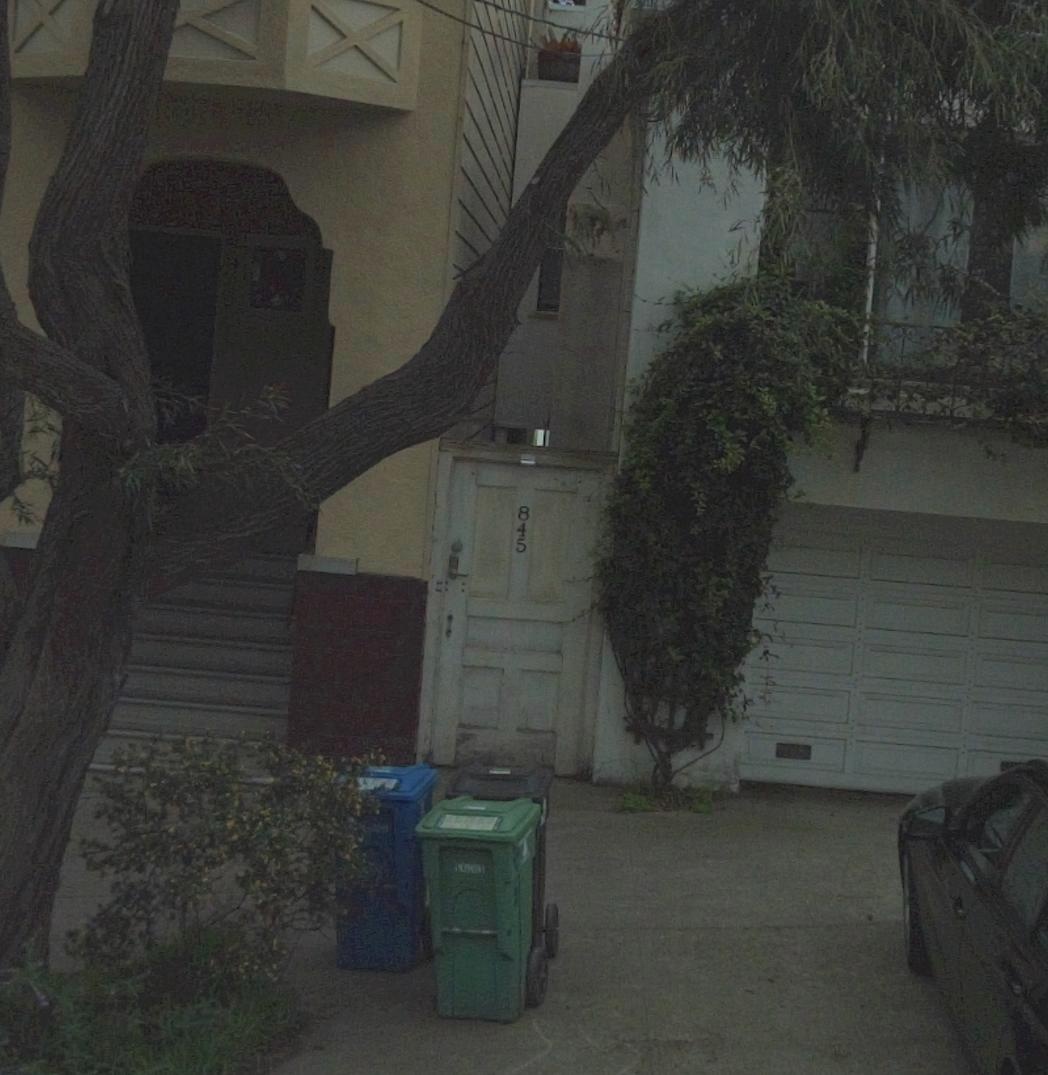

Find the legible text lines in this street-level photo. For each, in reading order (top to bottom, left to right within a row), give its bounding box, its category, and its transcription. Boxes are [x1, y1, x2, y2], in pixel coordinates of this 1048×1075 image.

[515, 505, 531, 554] StreetNumber: 845